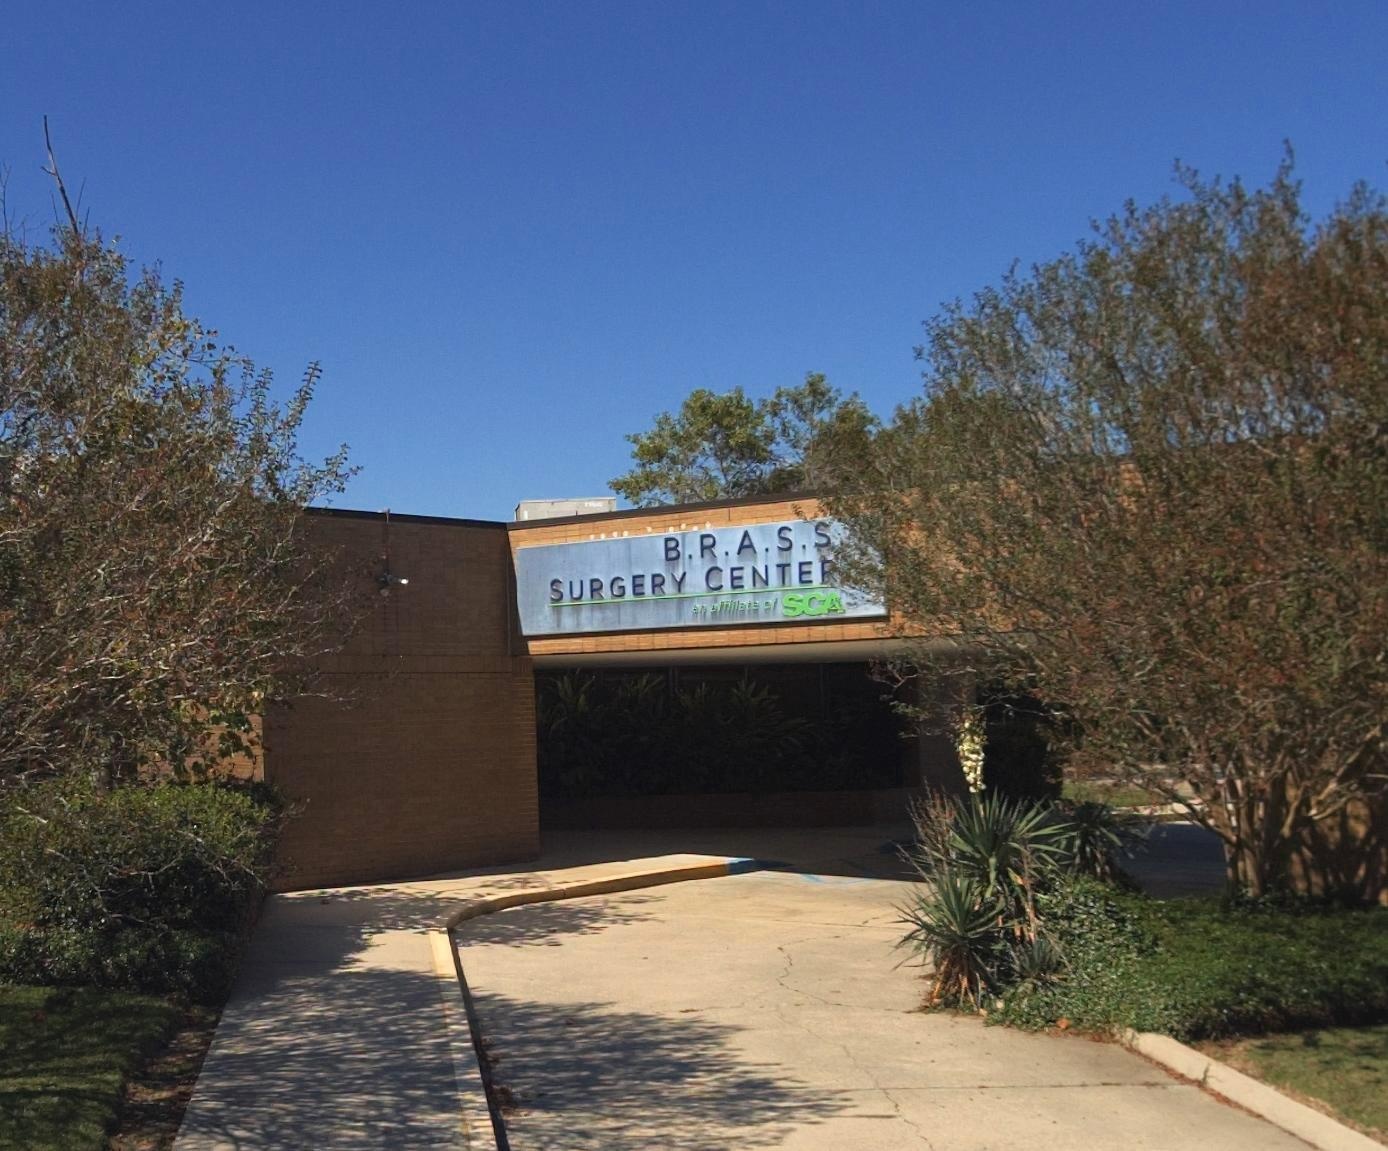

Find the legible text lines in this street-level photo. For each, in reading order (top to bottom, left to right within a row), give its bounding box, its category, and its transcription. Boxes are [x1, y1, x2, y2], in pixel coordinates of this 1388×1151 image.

[661, 516, 837, 562] BusinessName: B.R.A.S.S.
[546, 557, 842, 604] BusinessName: SURERY CENTER
[687, 591, 847, 619] None: an affilliate of SCA